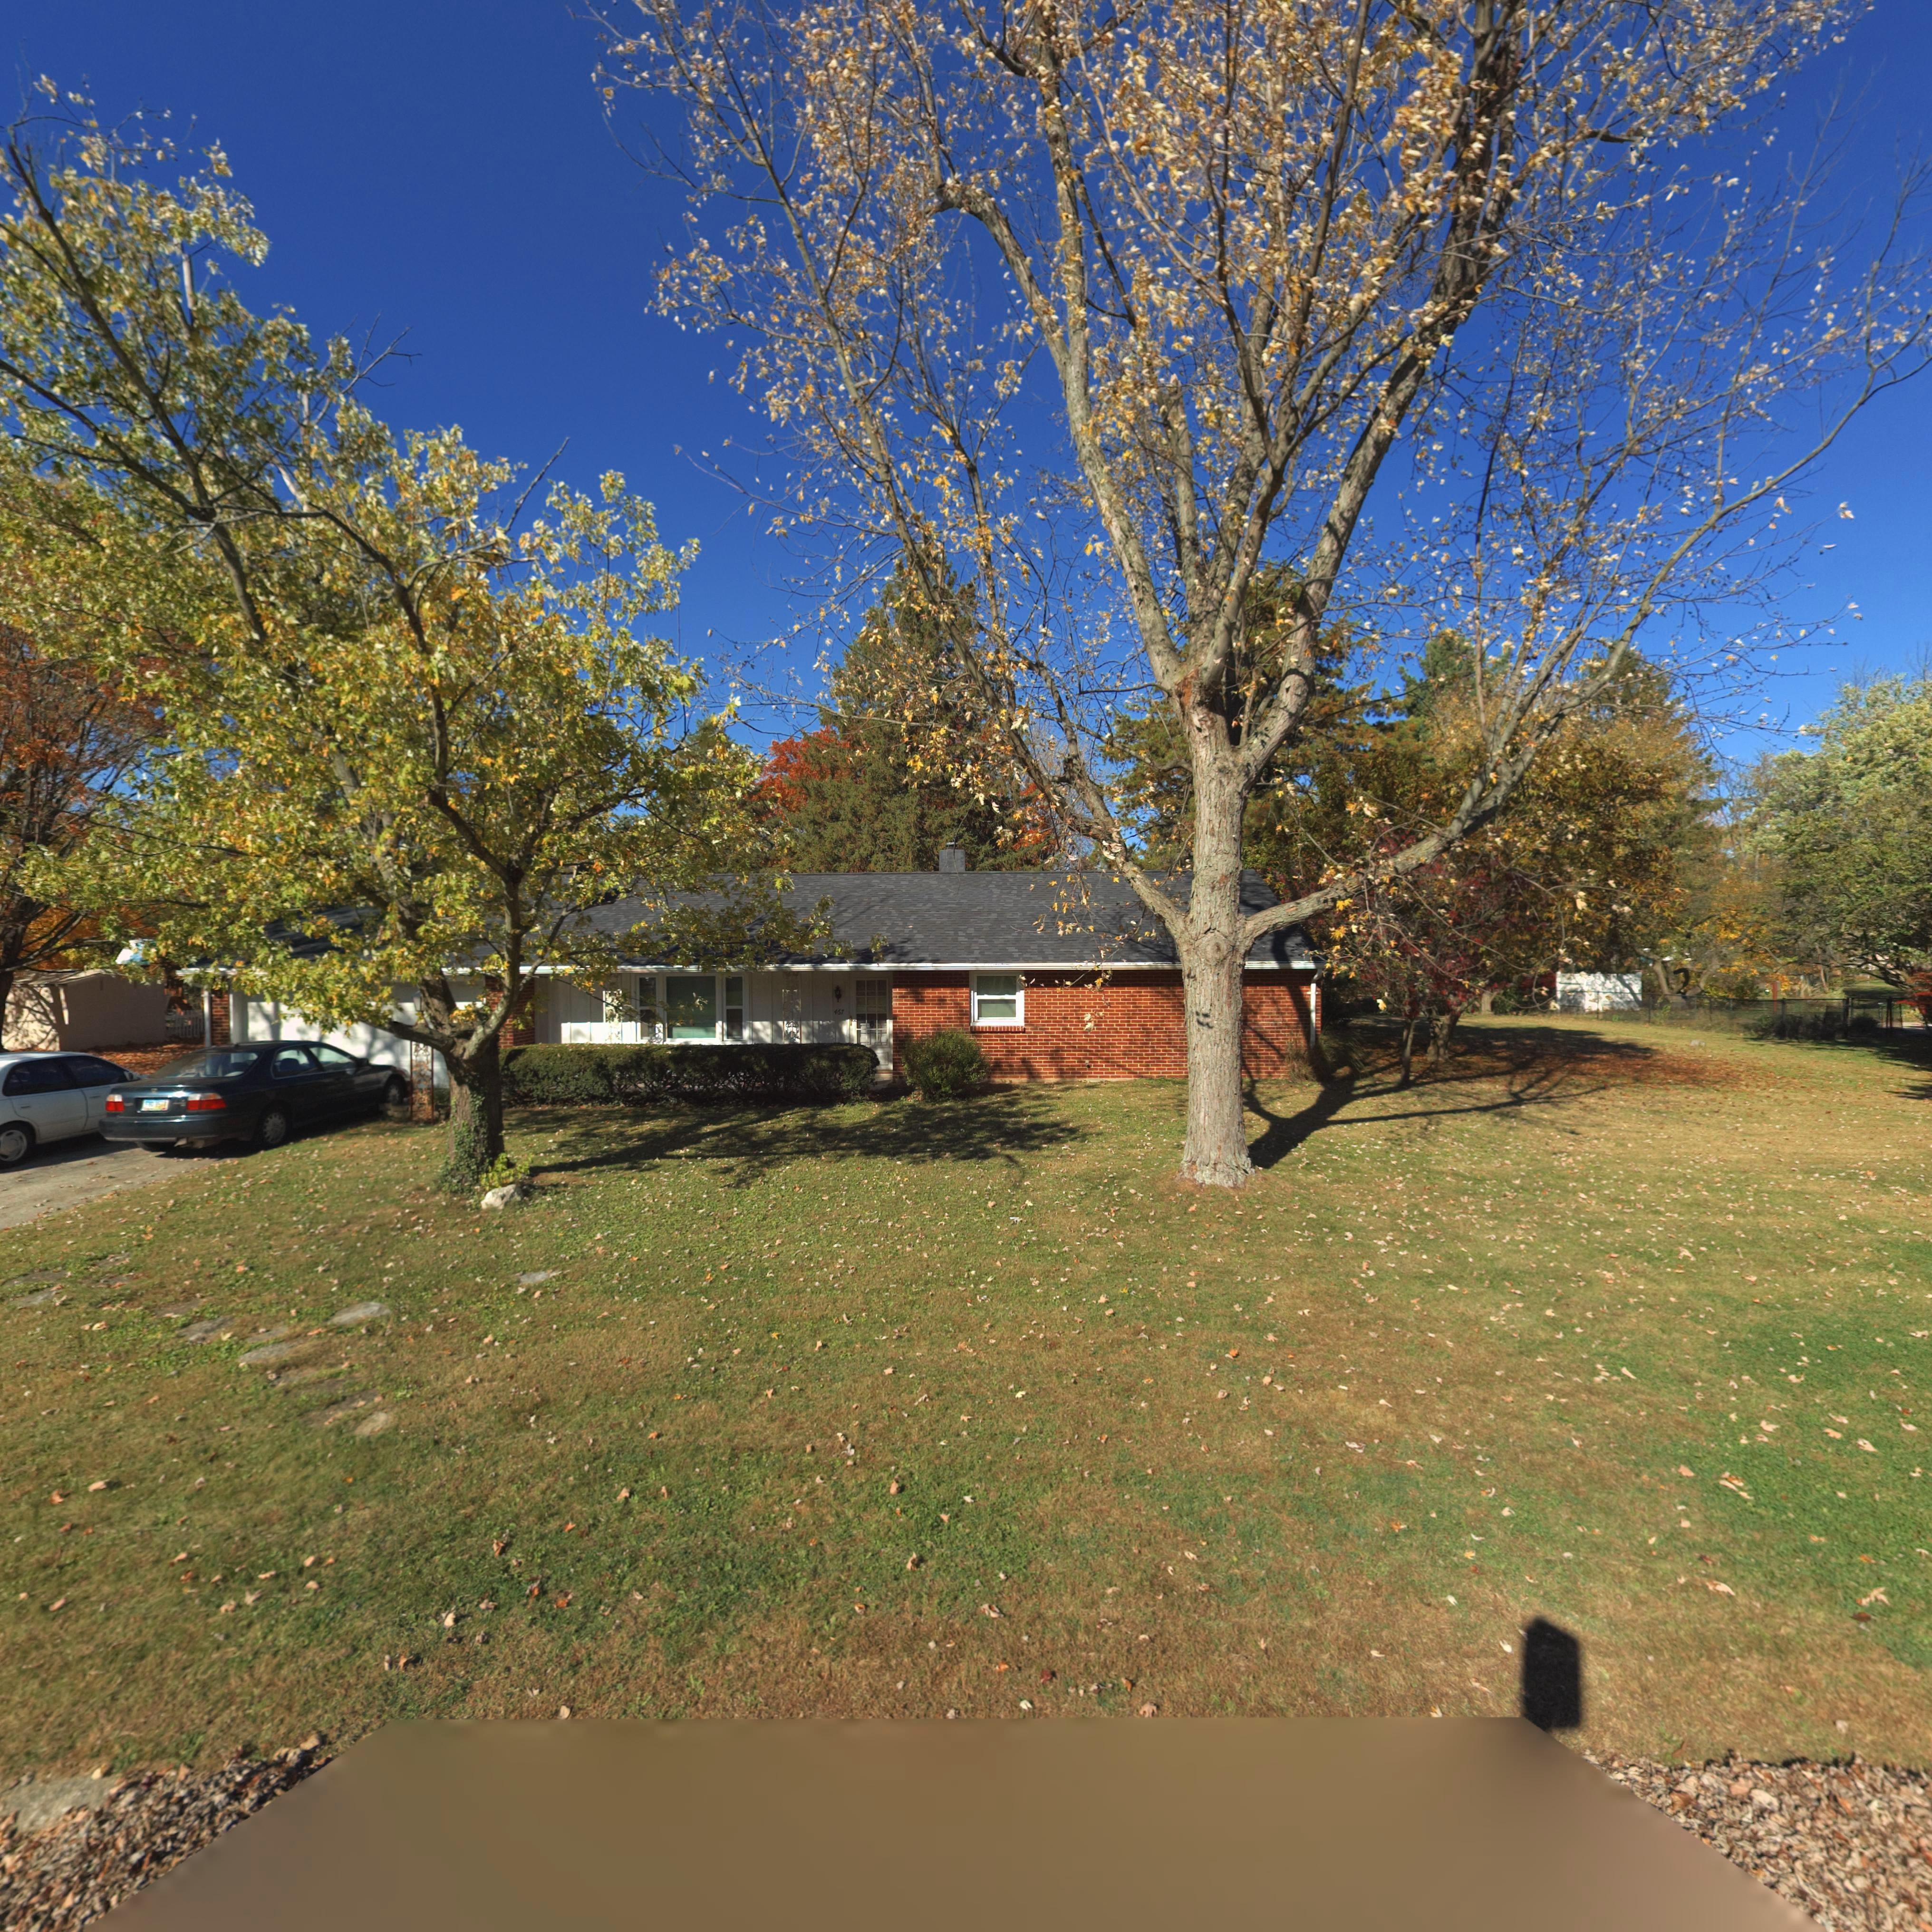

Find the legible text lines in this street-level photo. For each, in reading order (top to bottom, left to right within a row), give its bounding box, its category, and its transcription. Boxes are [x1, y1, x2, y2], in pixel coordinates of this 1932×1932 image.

[833, 1009, 845, 1015] StreetNumber: 467